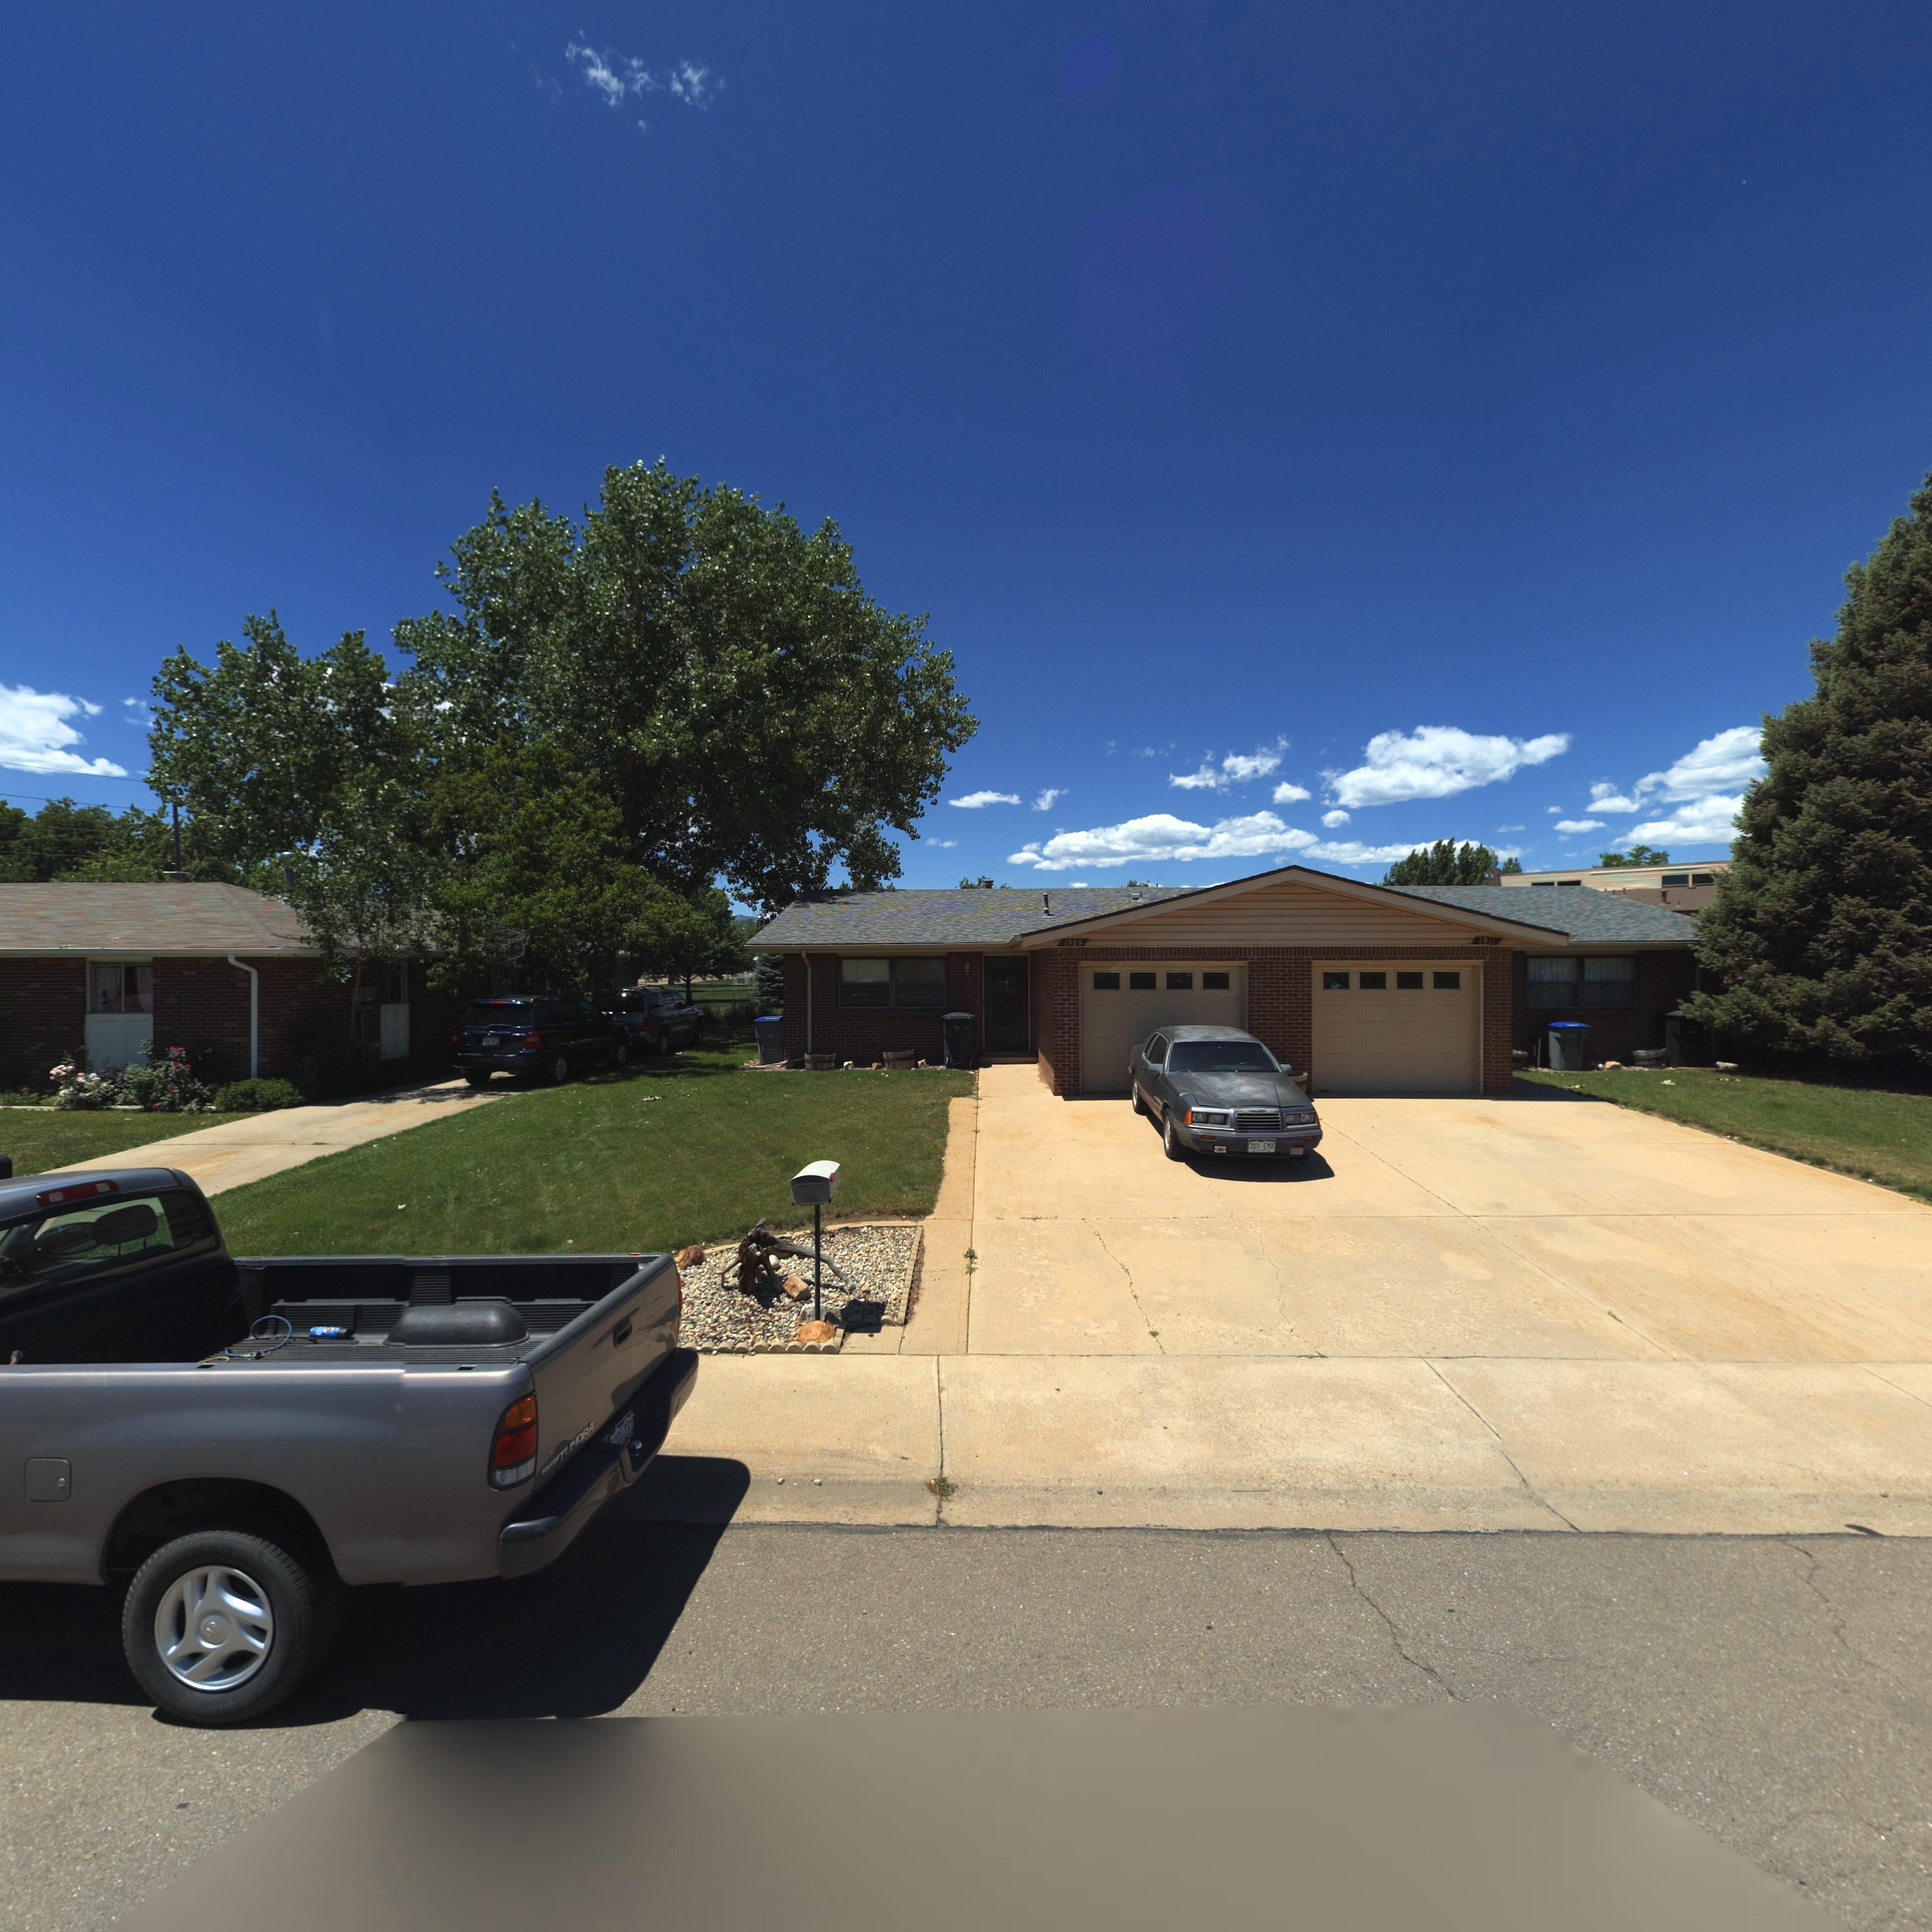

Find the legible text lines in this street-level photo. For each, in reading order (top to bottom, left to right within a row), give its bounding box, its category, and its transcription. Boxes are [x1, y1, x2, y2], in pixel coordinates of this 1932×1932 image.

[1064, 939, 1082, 946] StreetNumber: 1909
[1478, 937, 1495, 944] StreetNumber: 1911